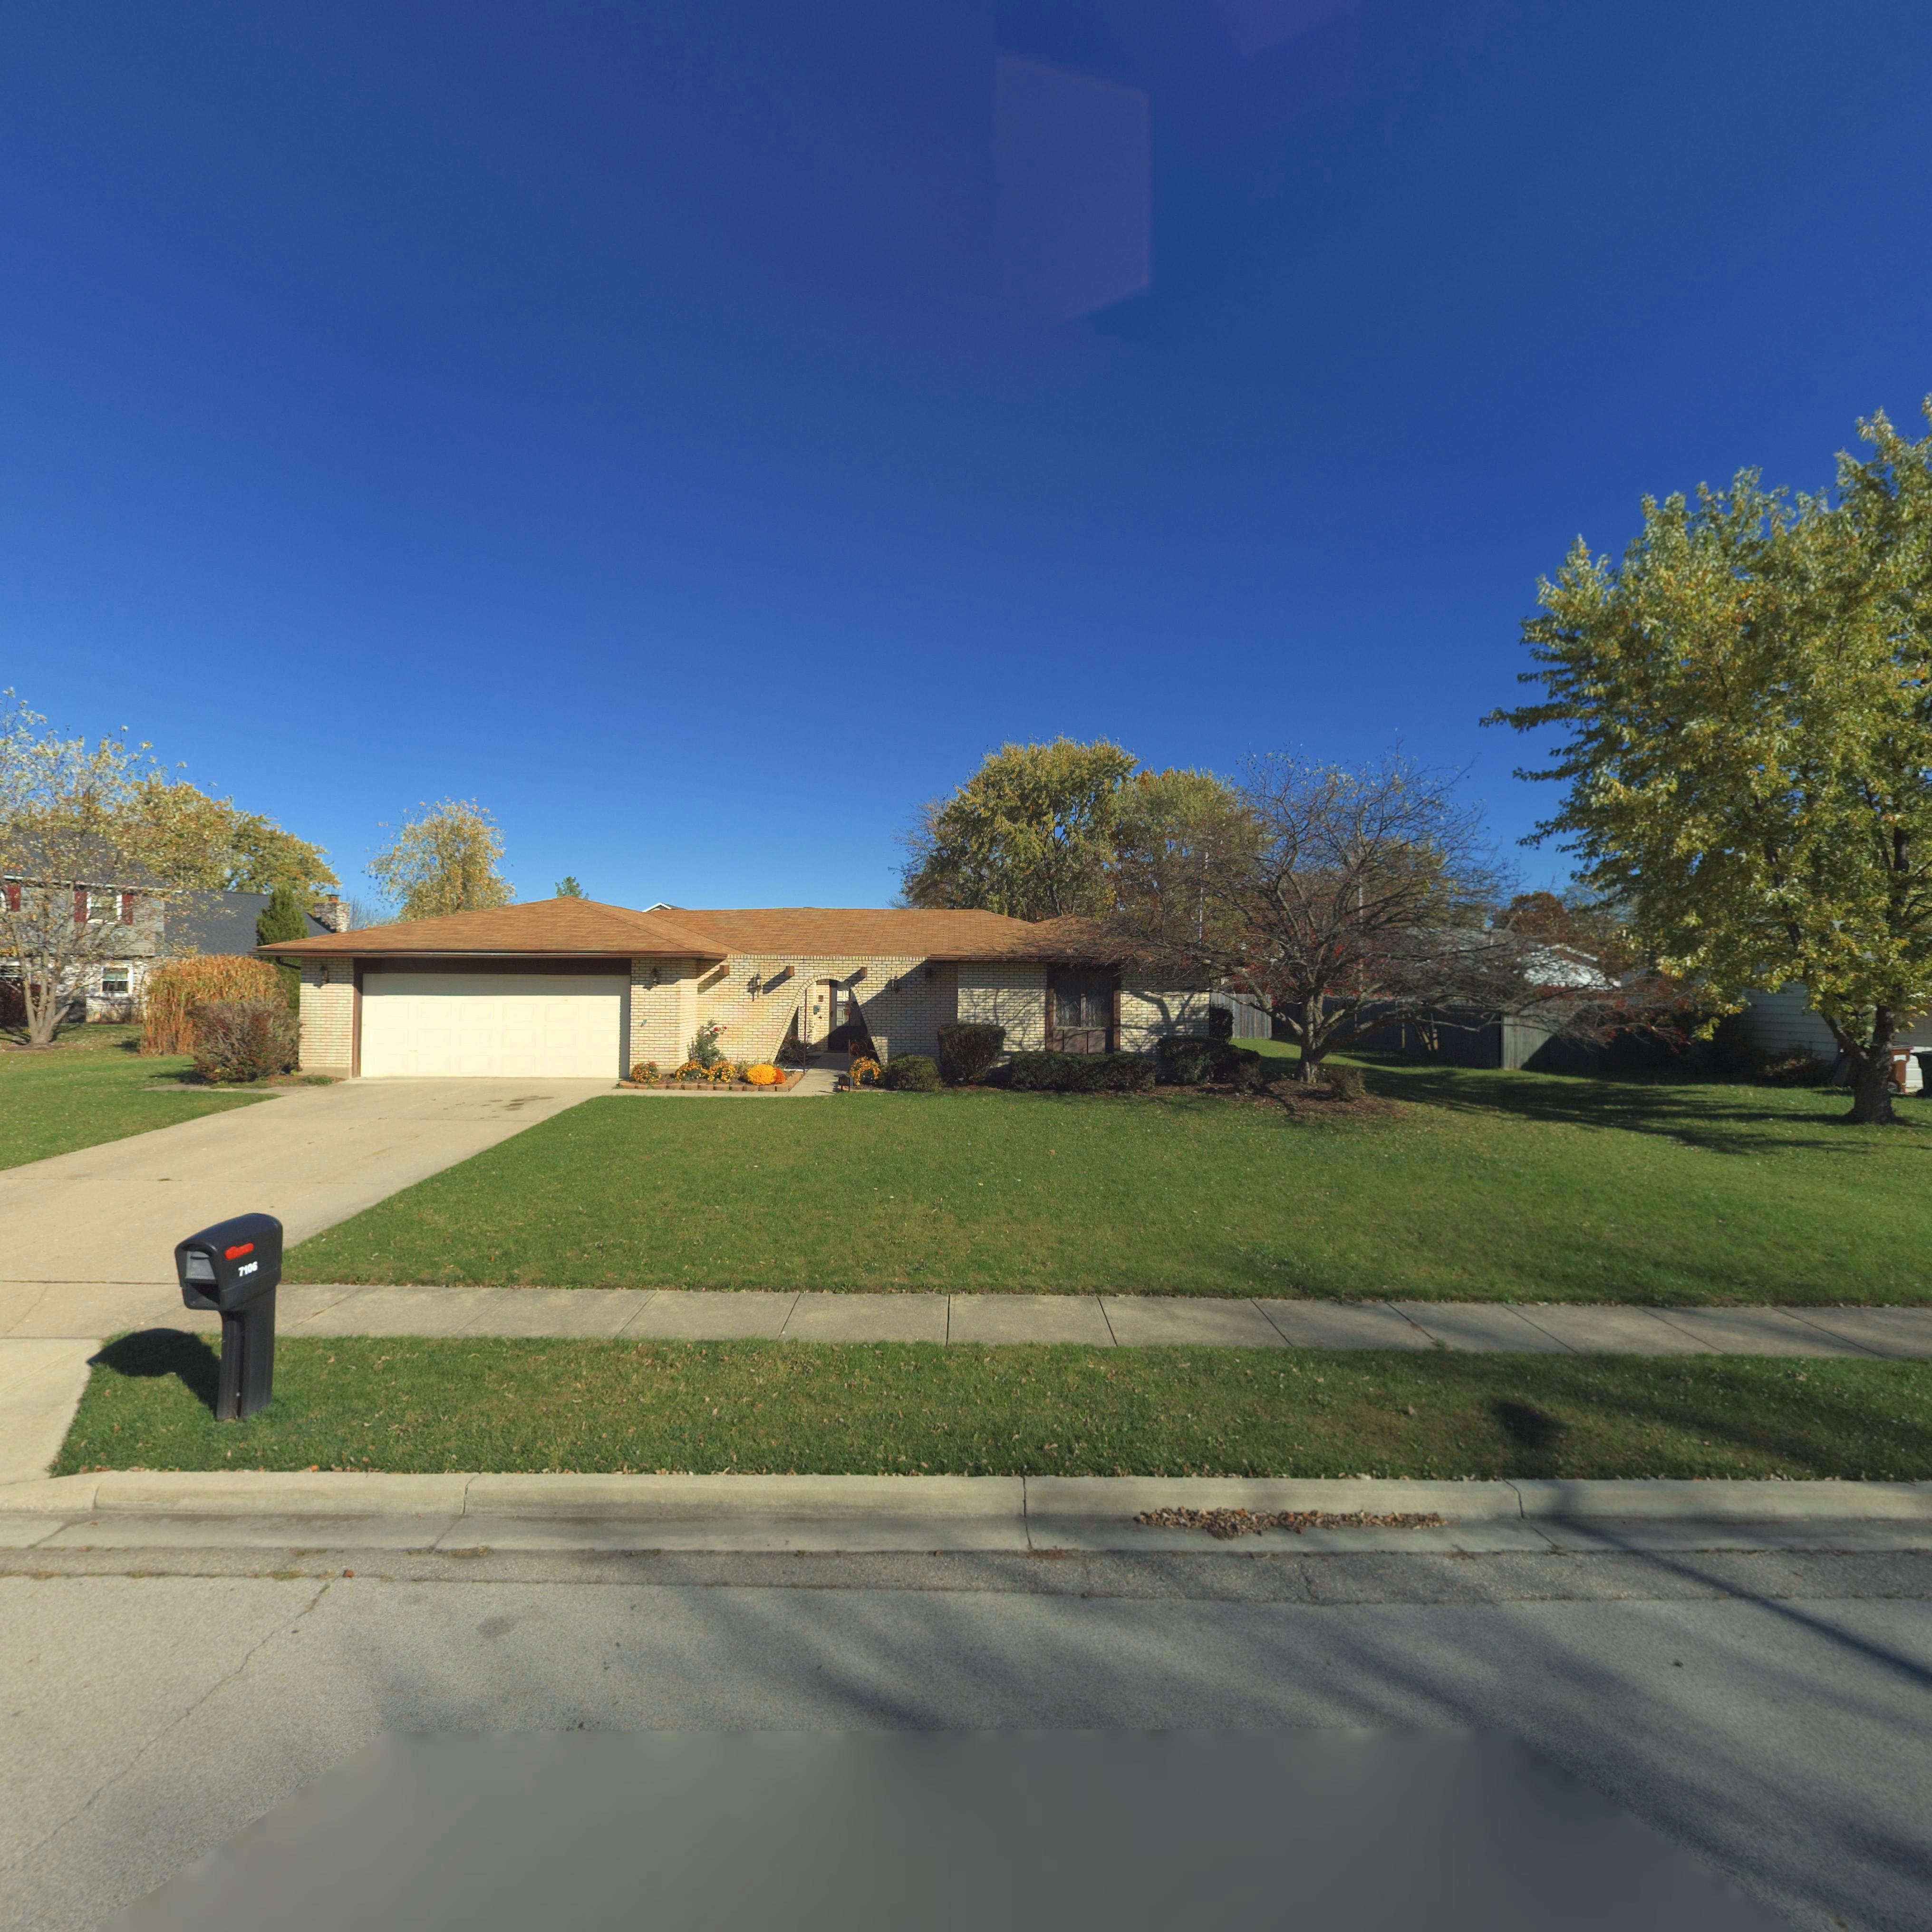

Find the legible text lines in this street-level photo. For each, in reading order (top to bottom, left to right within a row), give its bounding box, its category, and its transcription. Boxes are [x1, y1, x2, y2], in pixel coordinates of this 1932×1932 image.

[237, 1260, 259, 1279] StreetNumber: 7106